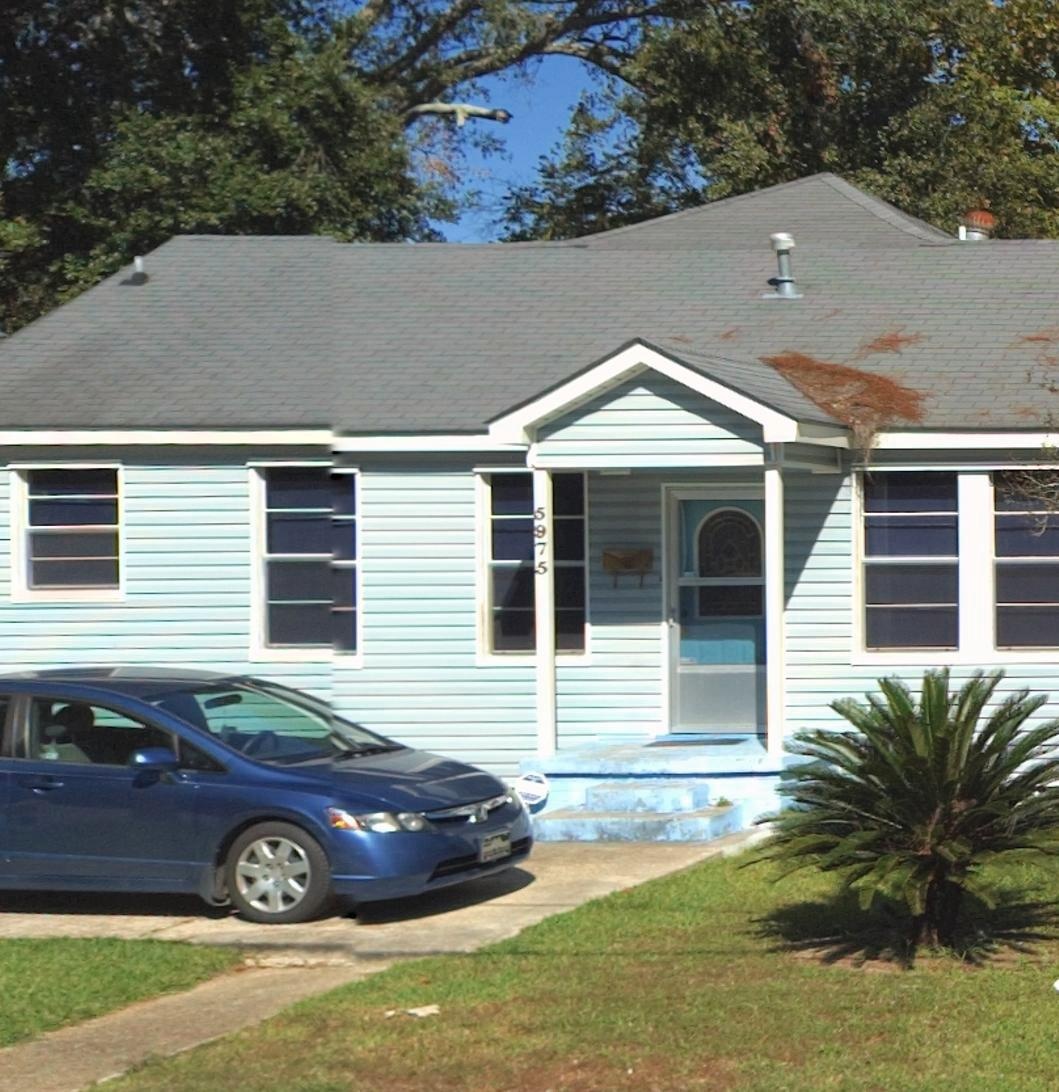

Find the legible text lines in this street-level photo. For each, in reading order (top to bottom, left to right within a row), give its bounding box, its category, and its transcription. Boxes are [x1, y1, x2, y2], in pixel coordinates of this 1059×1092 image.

[534, 506, 547, 576] StreetNumber: 5975